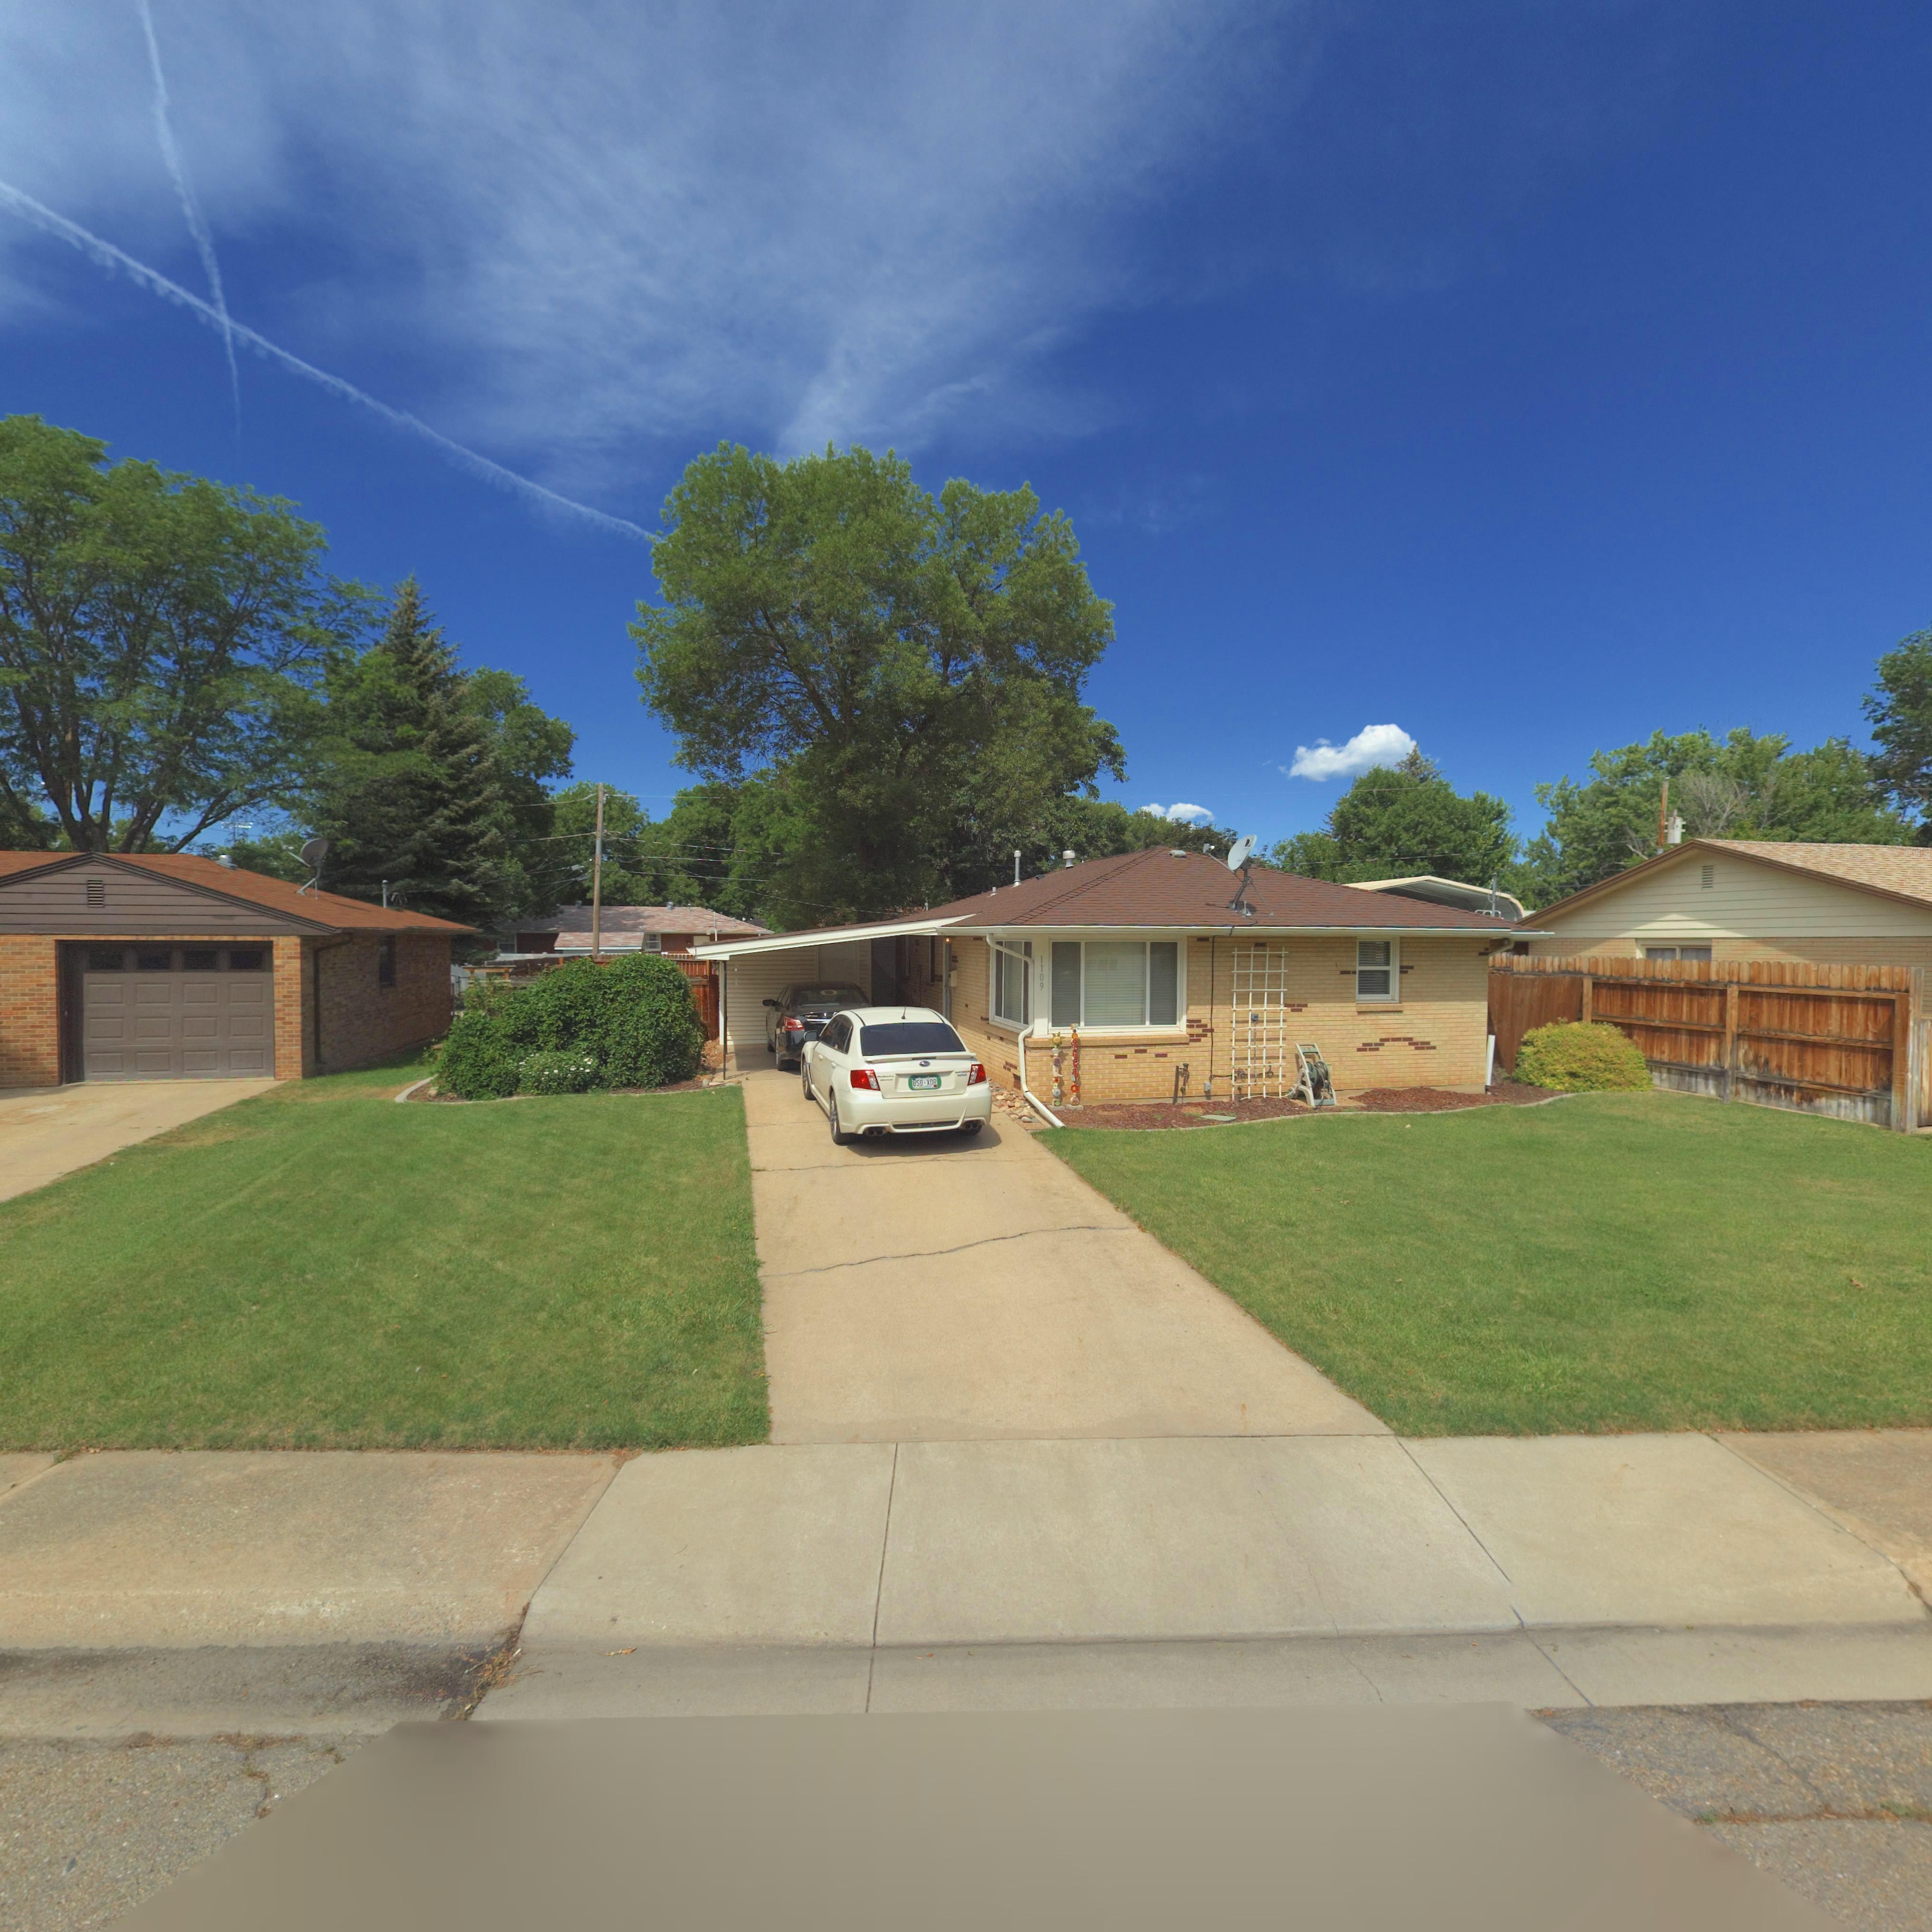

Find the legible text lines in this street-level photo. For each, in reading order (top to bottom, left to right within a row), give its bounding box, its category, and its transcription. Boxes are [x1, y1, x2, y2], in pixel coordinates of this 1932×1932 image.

[1039, 955, 1044, 991] StreetNumber: 1109